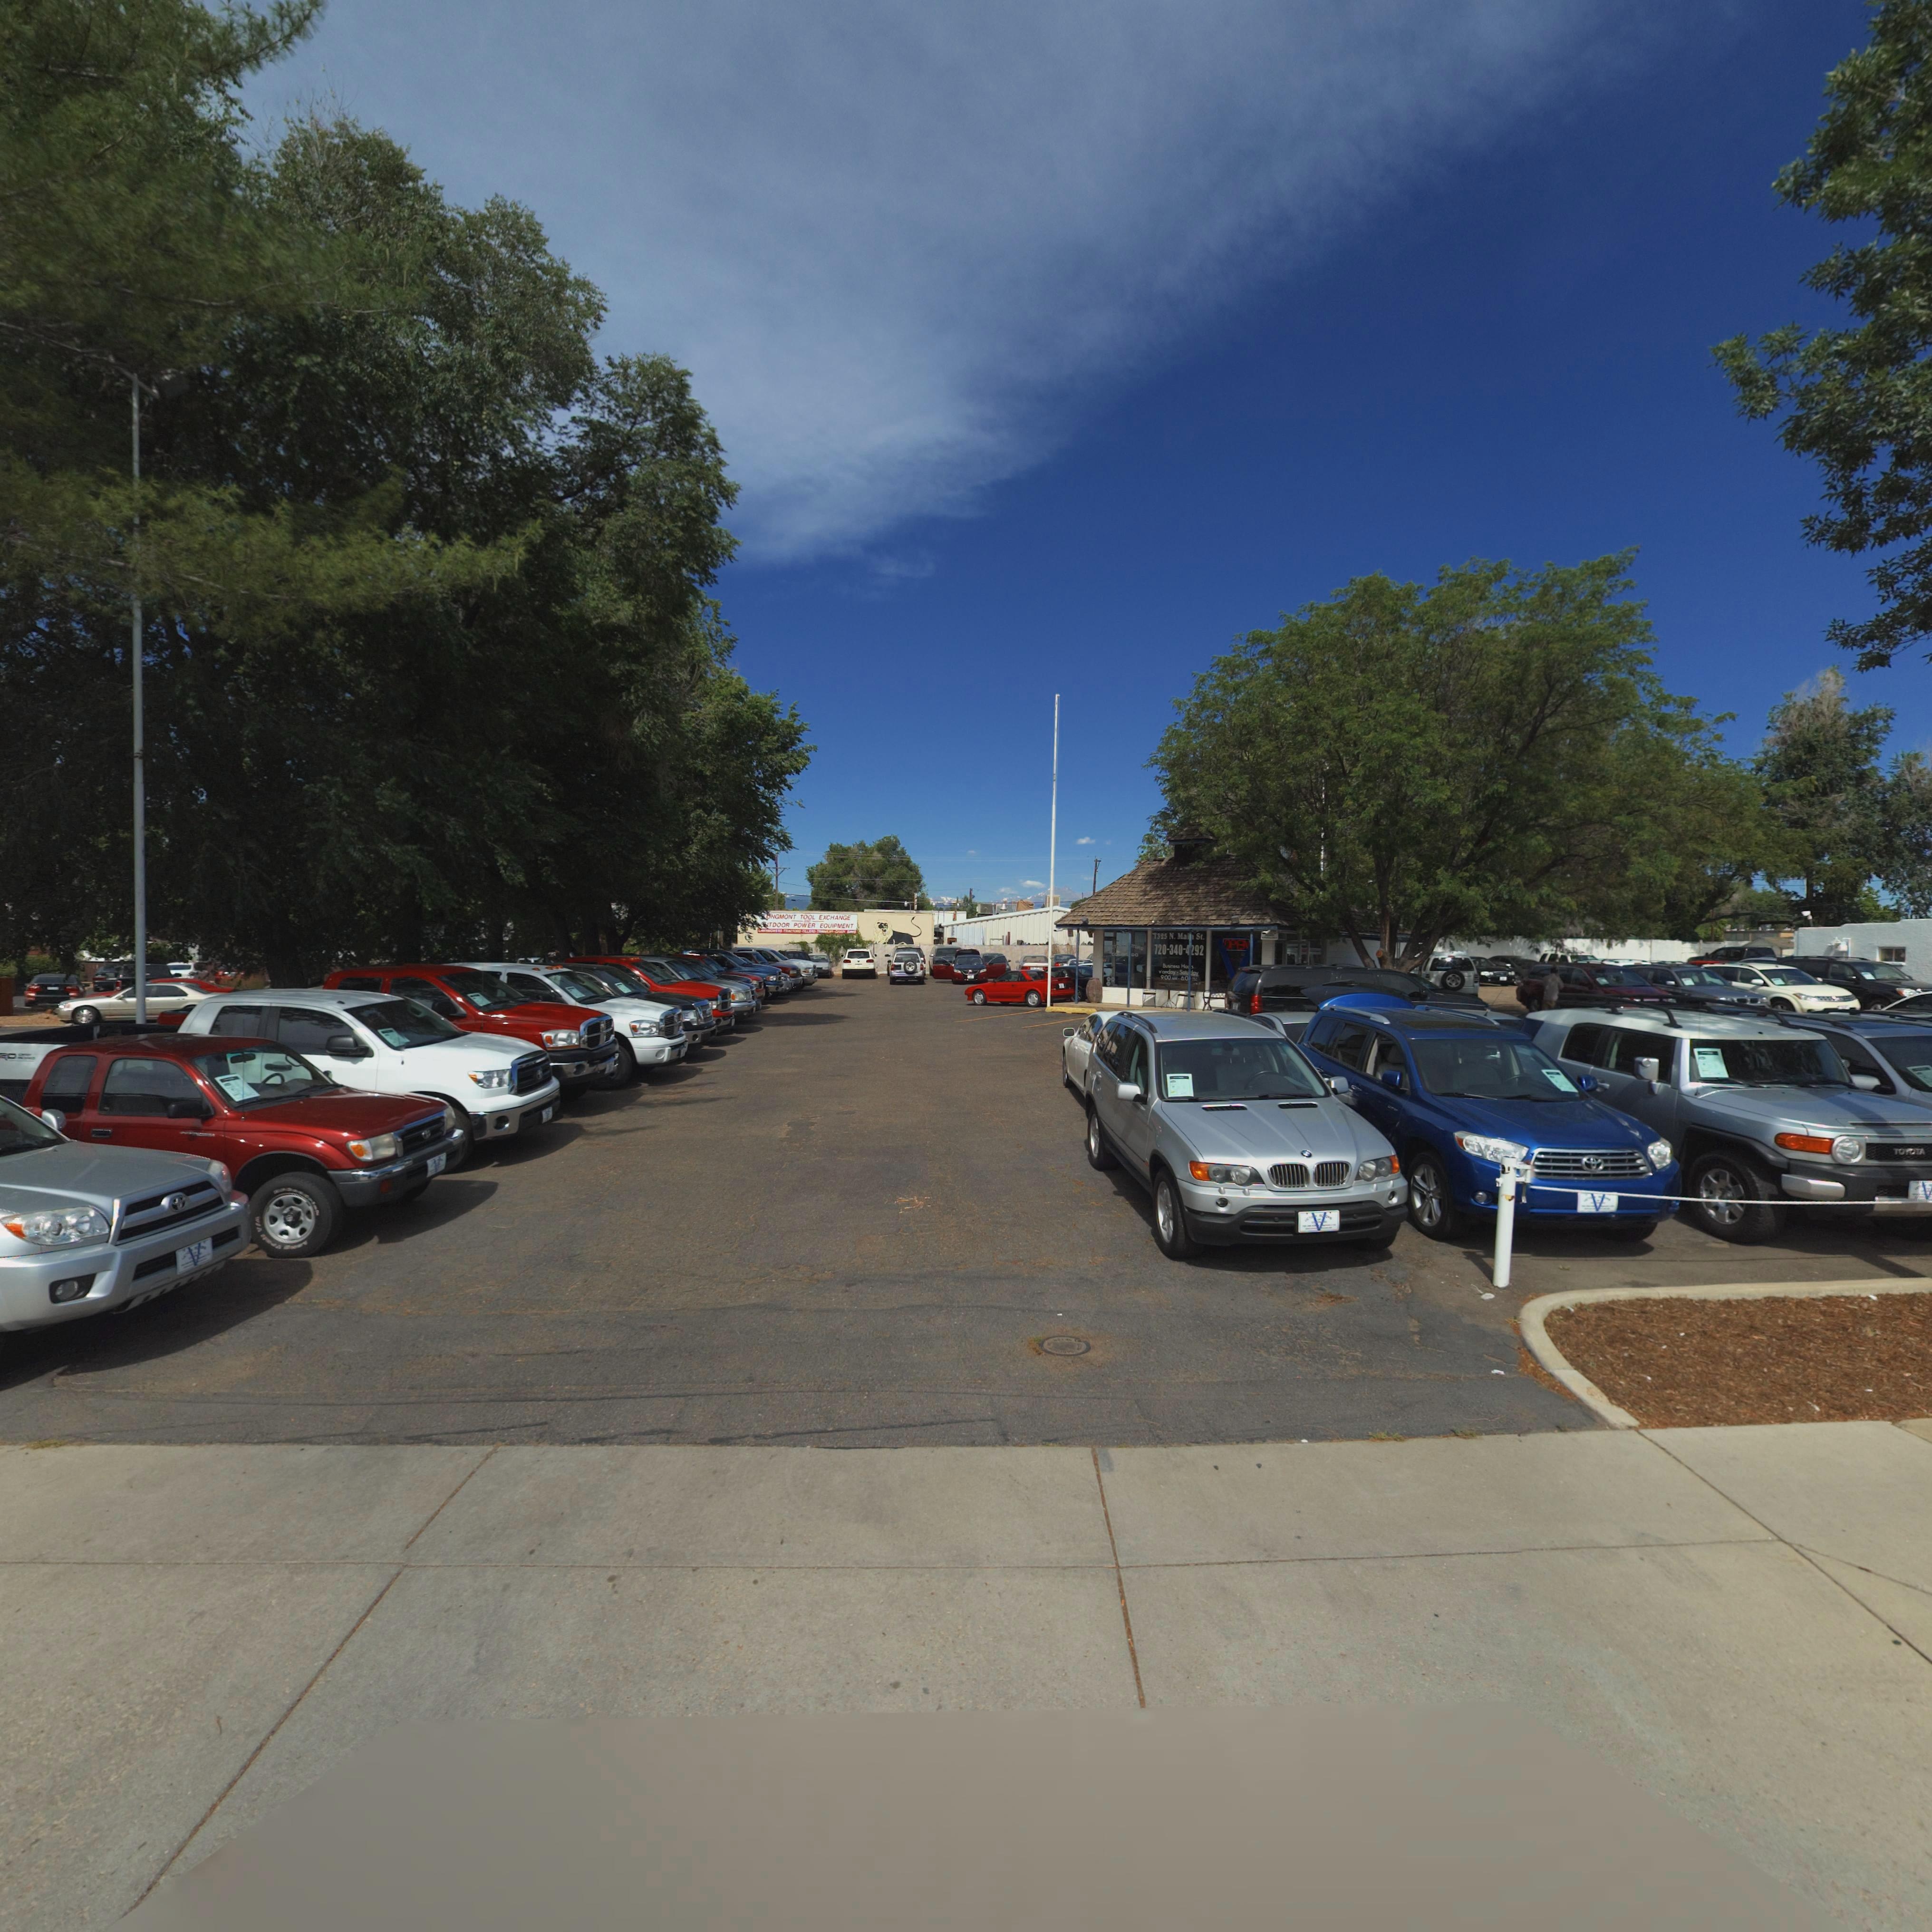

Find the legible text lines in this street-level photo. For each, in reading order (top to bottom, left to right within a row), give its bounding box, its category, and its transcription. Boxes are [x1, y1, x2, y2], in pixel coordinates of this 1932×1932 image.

[1154, 932, 1167, 939] StreetNumber: 1325
[1169, 932, 1203, 940] StreetName: N. Mai* St
[1132, 944, 1143, 950] BusinessName: TORS
[1111, 952, 1139, 957] BusinessName: CO****DO